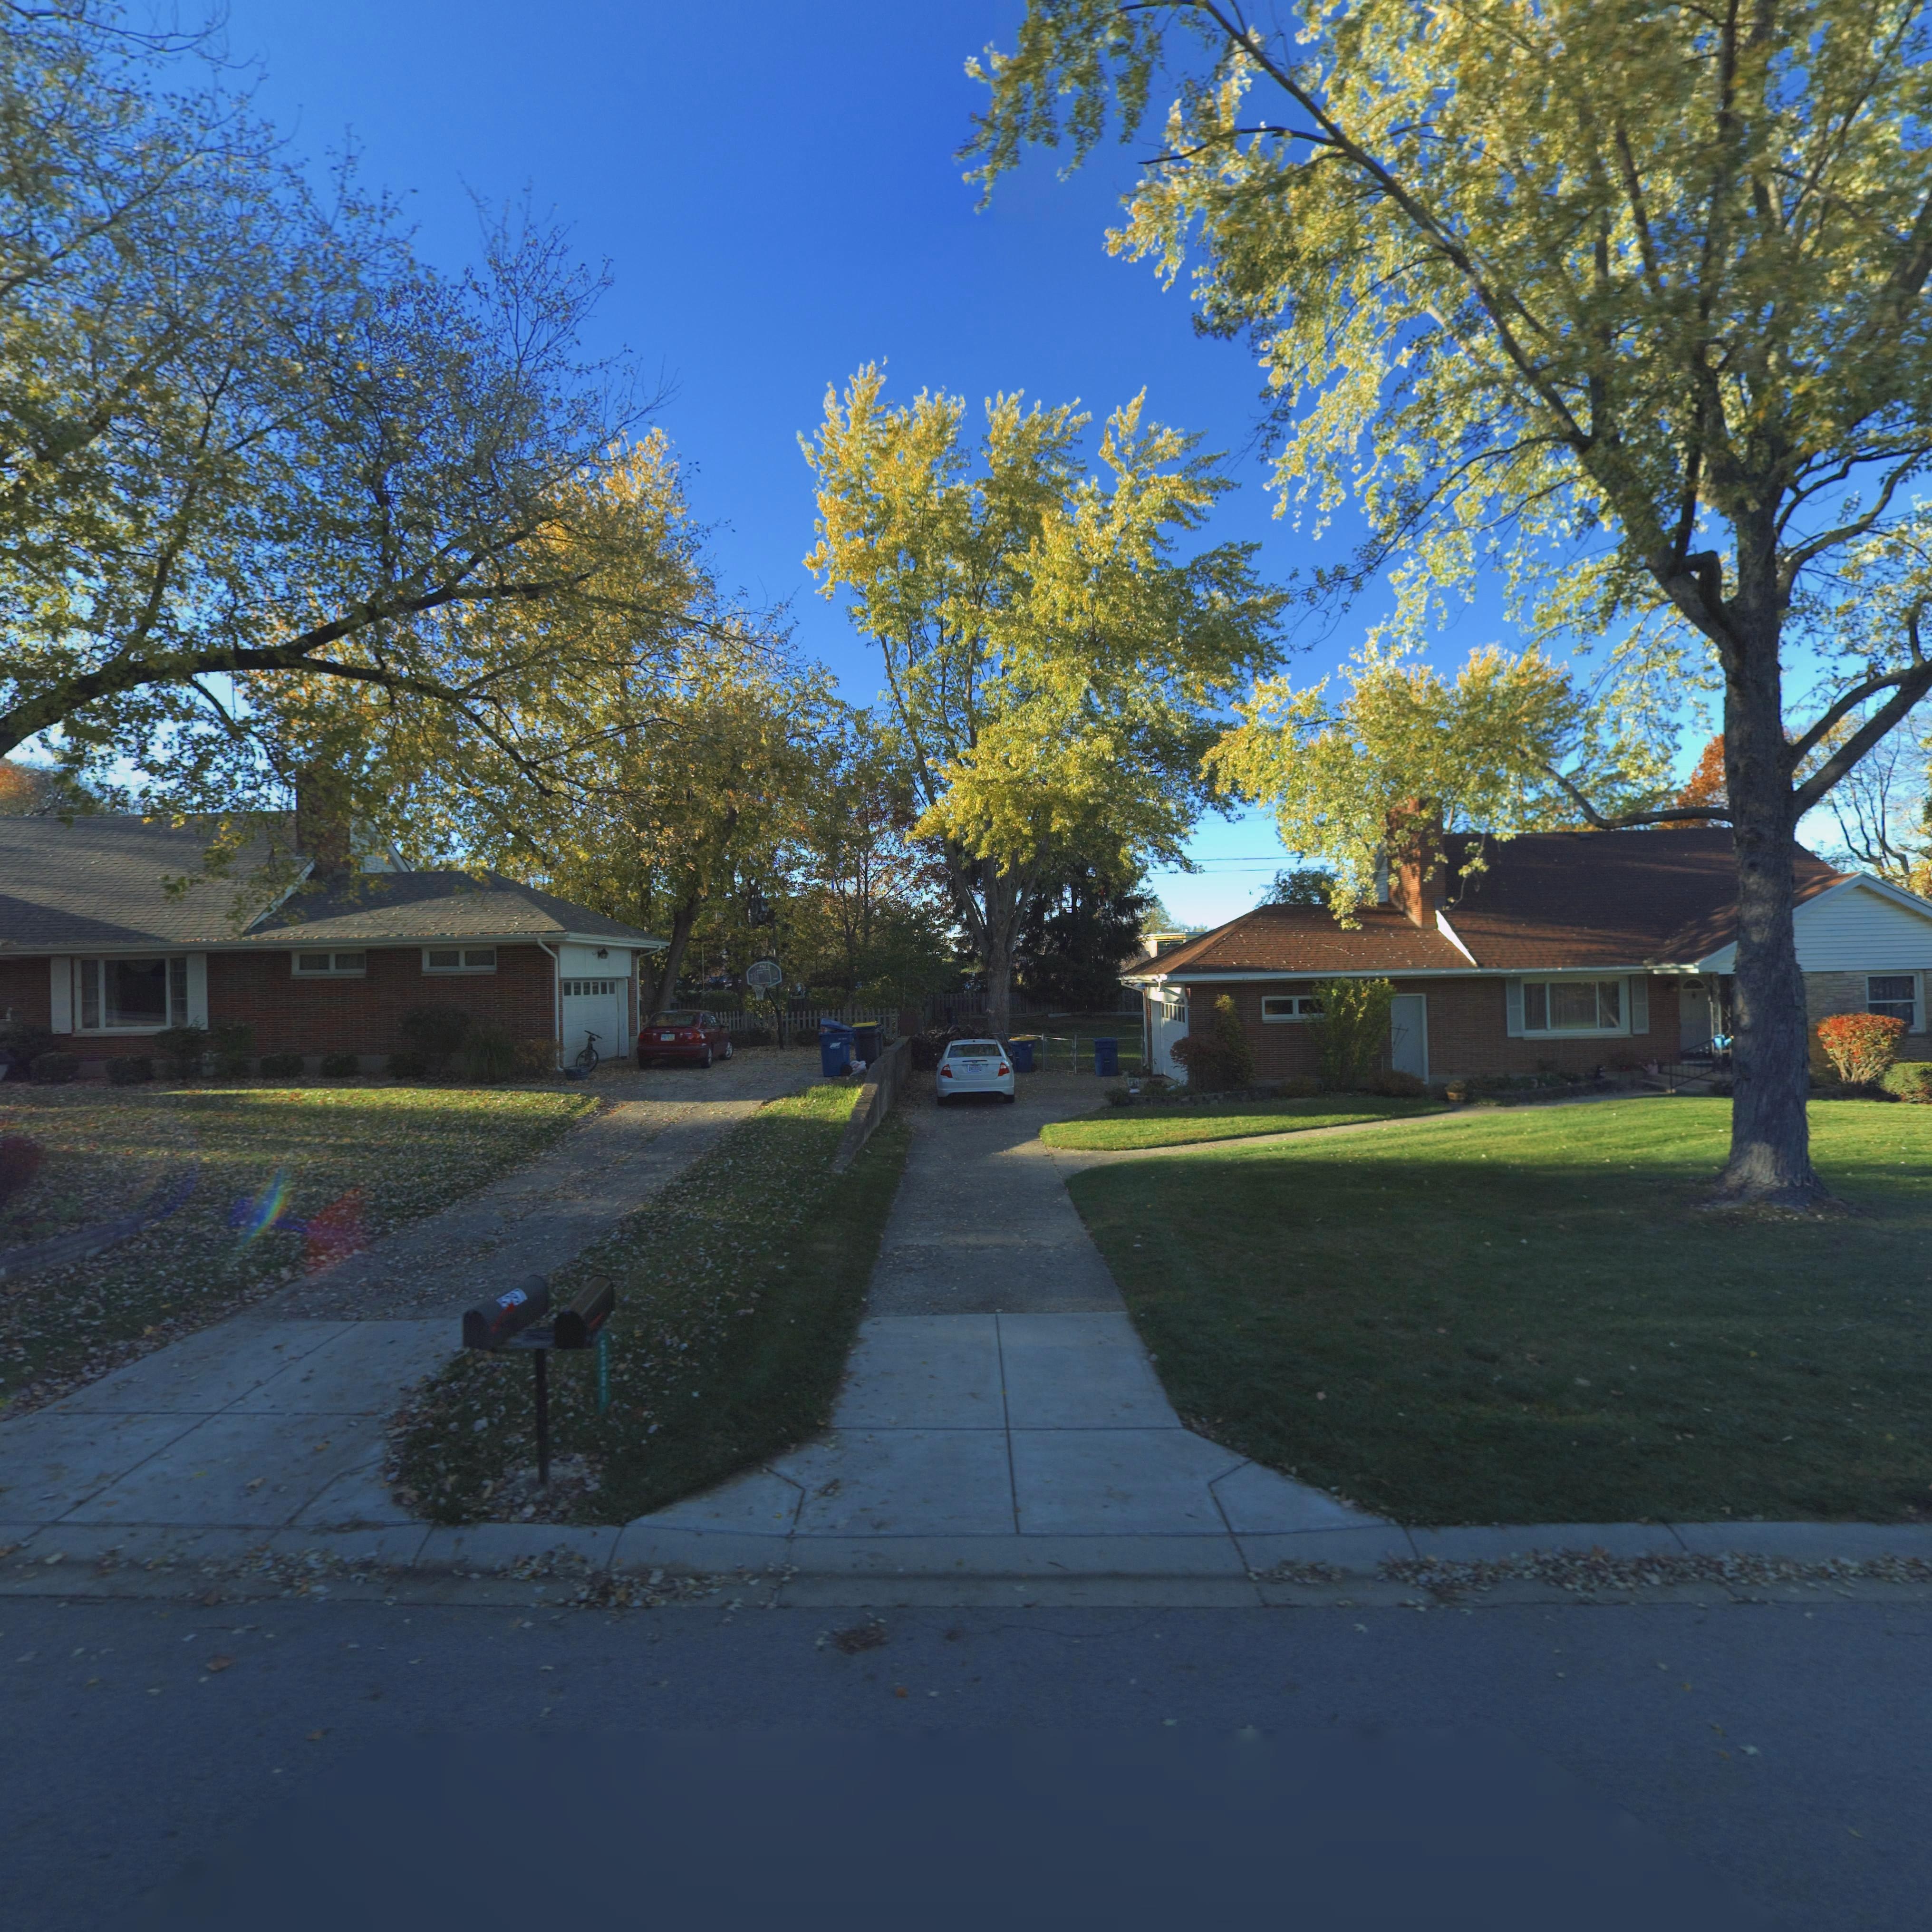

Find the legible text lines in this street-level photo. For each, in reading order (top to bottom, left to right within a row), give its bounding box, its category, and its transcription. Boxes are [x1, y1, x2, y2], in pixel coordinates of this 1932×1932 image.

[496, 1286, 527, 1312] StreetNumber: **9*
[598, 1337, 610, 1406] StreetNumber: 5***